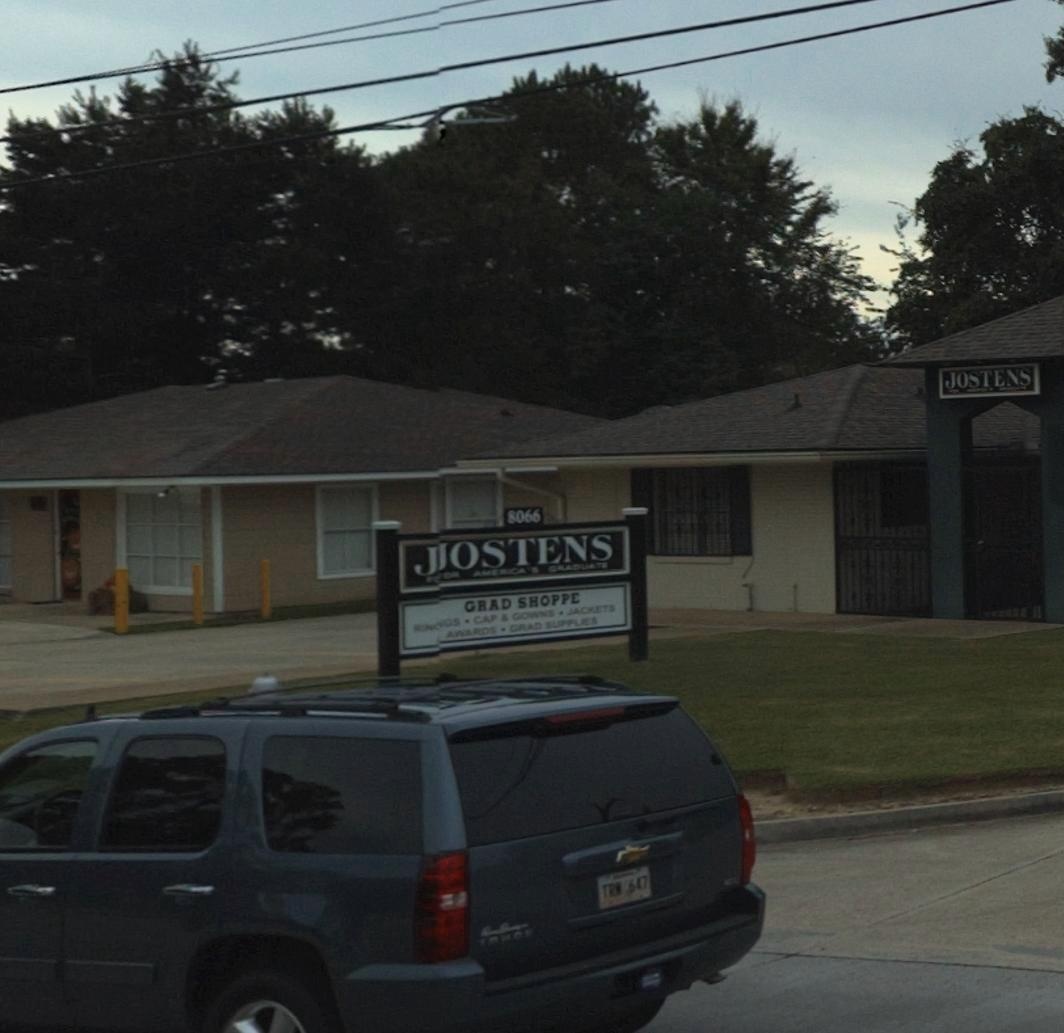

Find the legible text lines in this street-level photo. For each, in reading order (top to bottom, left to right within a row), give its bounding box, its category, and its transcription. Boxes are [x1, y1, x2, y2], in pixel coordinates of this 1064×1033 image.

[944, 367, 1033, 390] None: JOSTENS
[507, 508, 542, 525] StreetNumber: 8066
[451, 533, 615, 572] None: OSTENS
[471, 560, 610, 578] None: AMERICA'S GRADUATE
[463, 592, 581, 613] None: GRAD SHOPPE
[474, 603, 616, 624] None: CAP & GOWNS * JACKETS
[445, 616, 600, 640] None: AWARDS * GRAD SUPPLIES
[600, 872, 650, 900] None: TRN 647
[476, 927, 534, 950] None: TAHOE